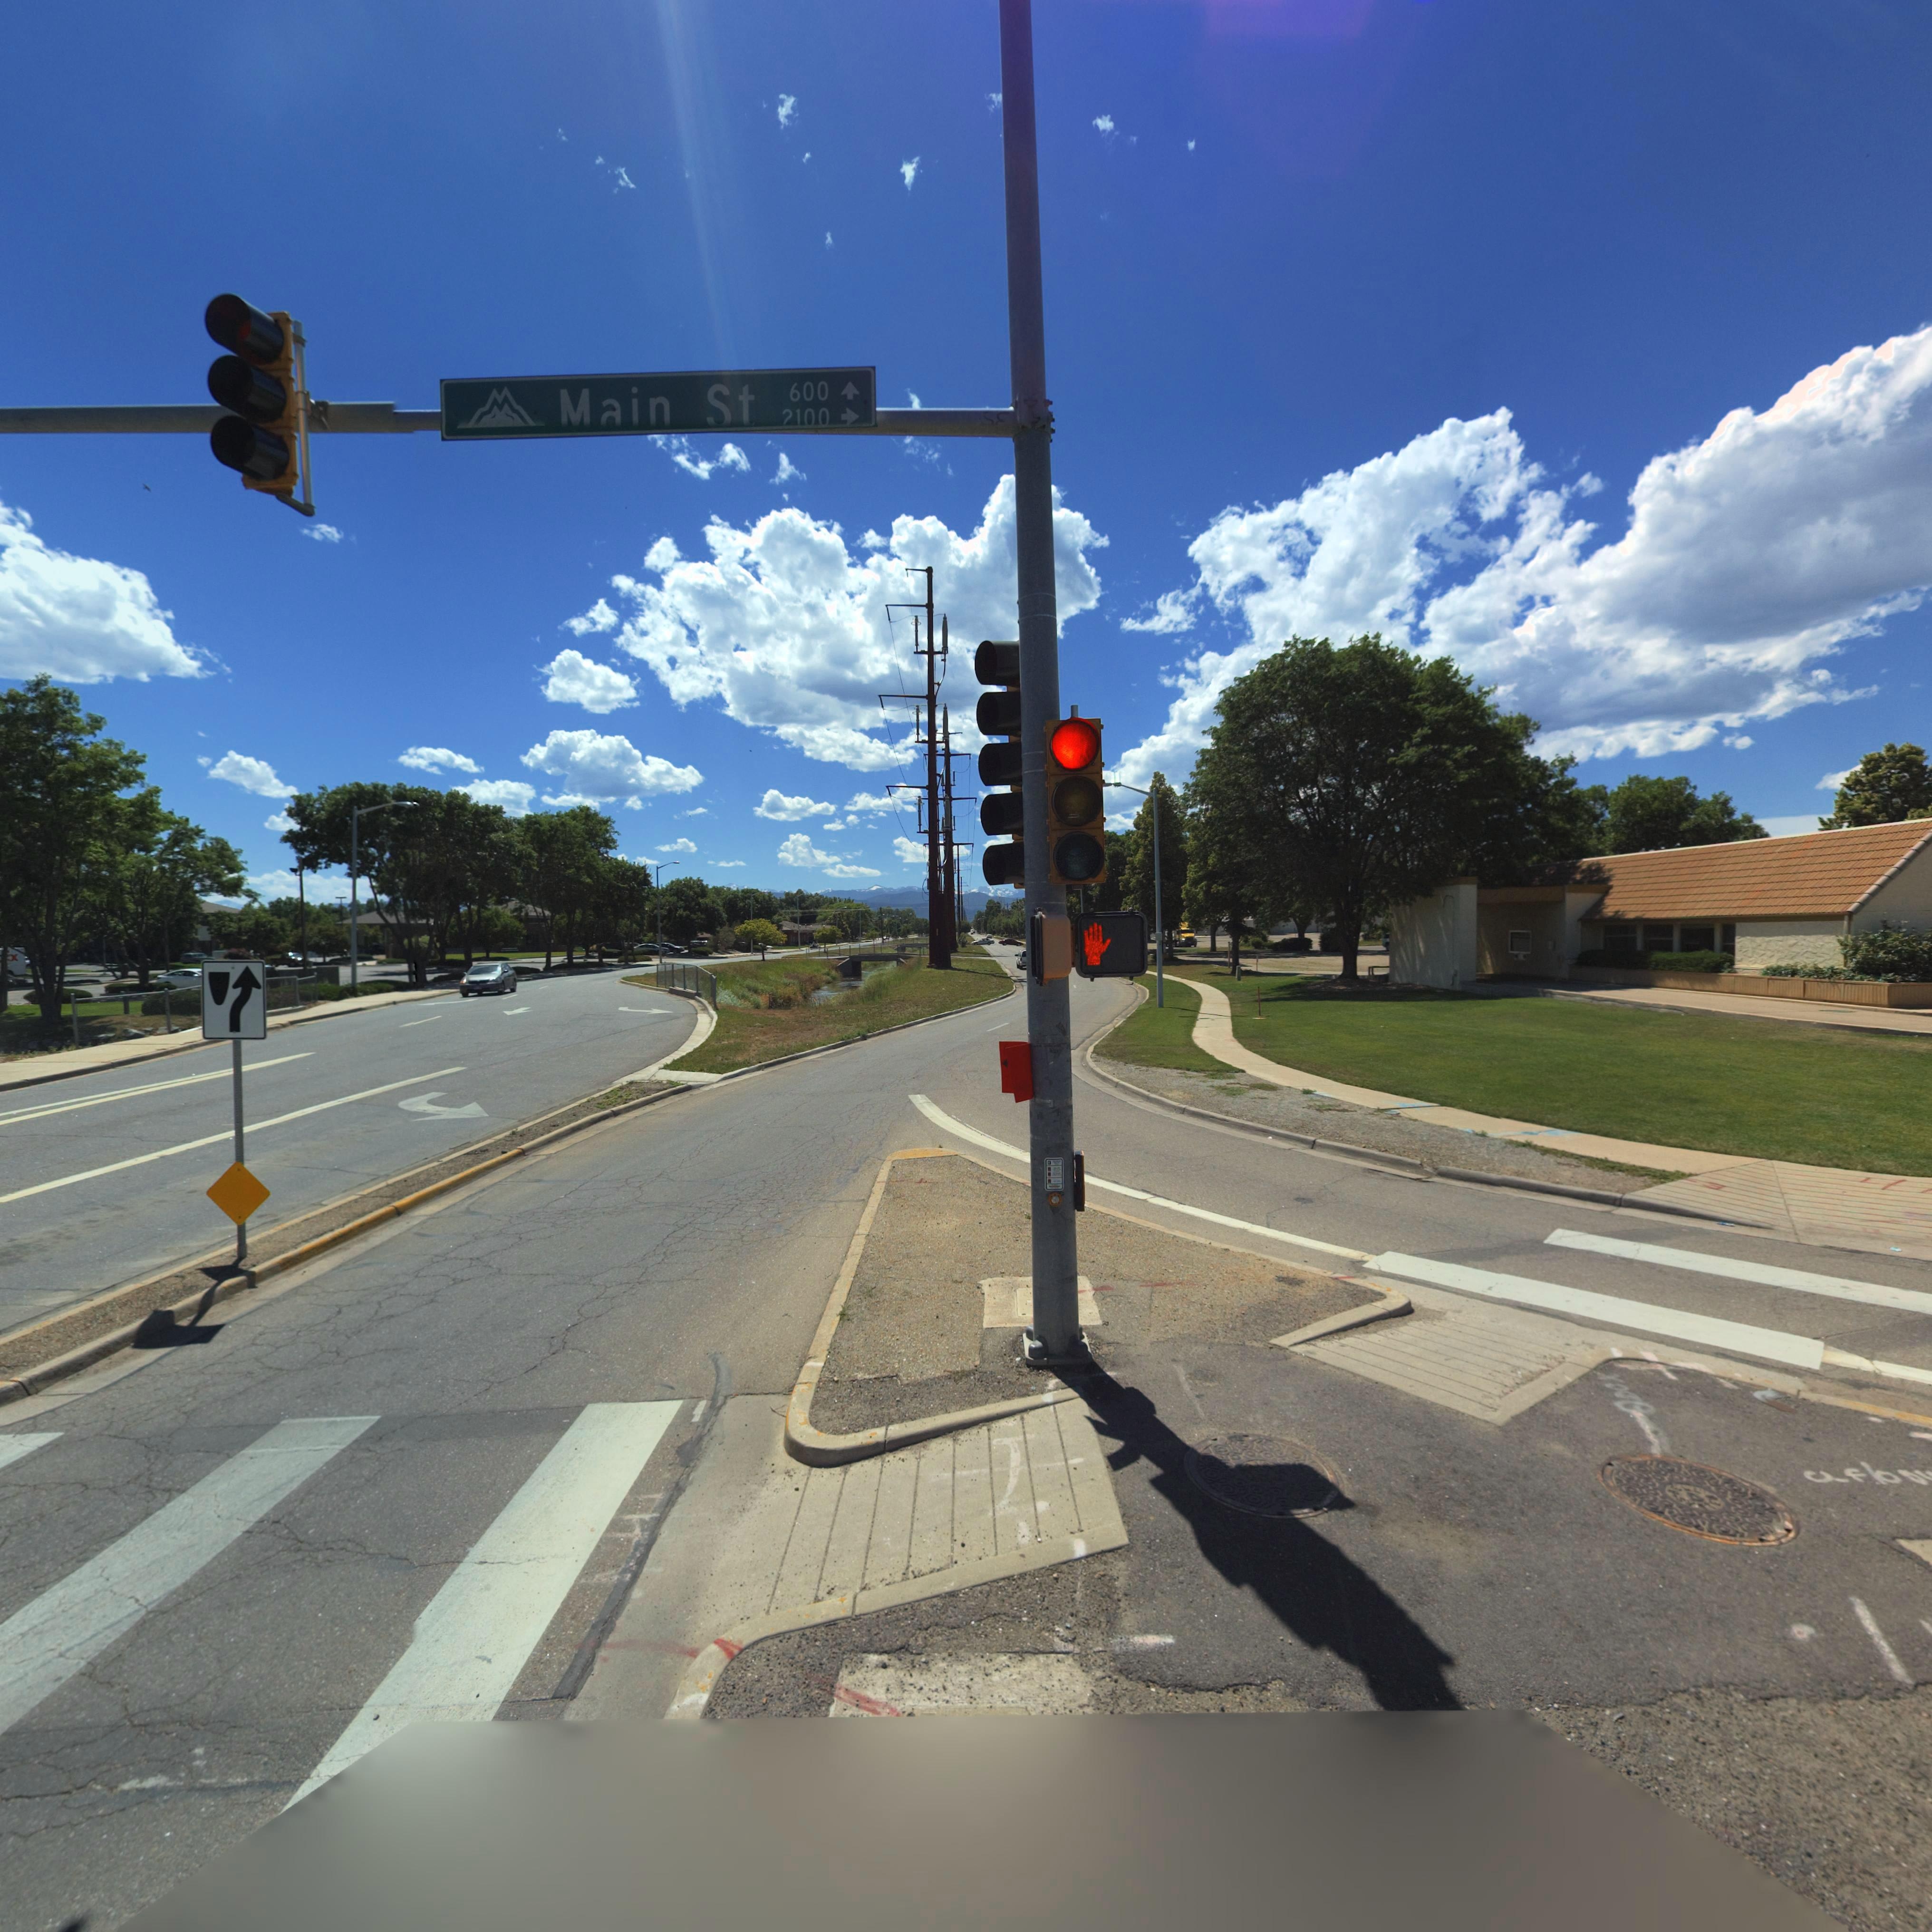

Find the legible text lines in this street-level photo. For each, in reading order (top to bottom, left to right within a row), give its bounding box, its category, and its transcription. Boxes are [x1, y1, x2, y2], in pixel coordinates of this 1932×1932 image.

[788, 380, 829, 402] StreetNumberRange: 600
[559, 383, 755, 429] StreetName: M*in St
[781, 406, 860, 426] StreetNumberRange: *100 ->